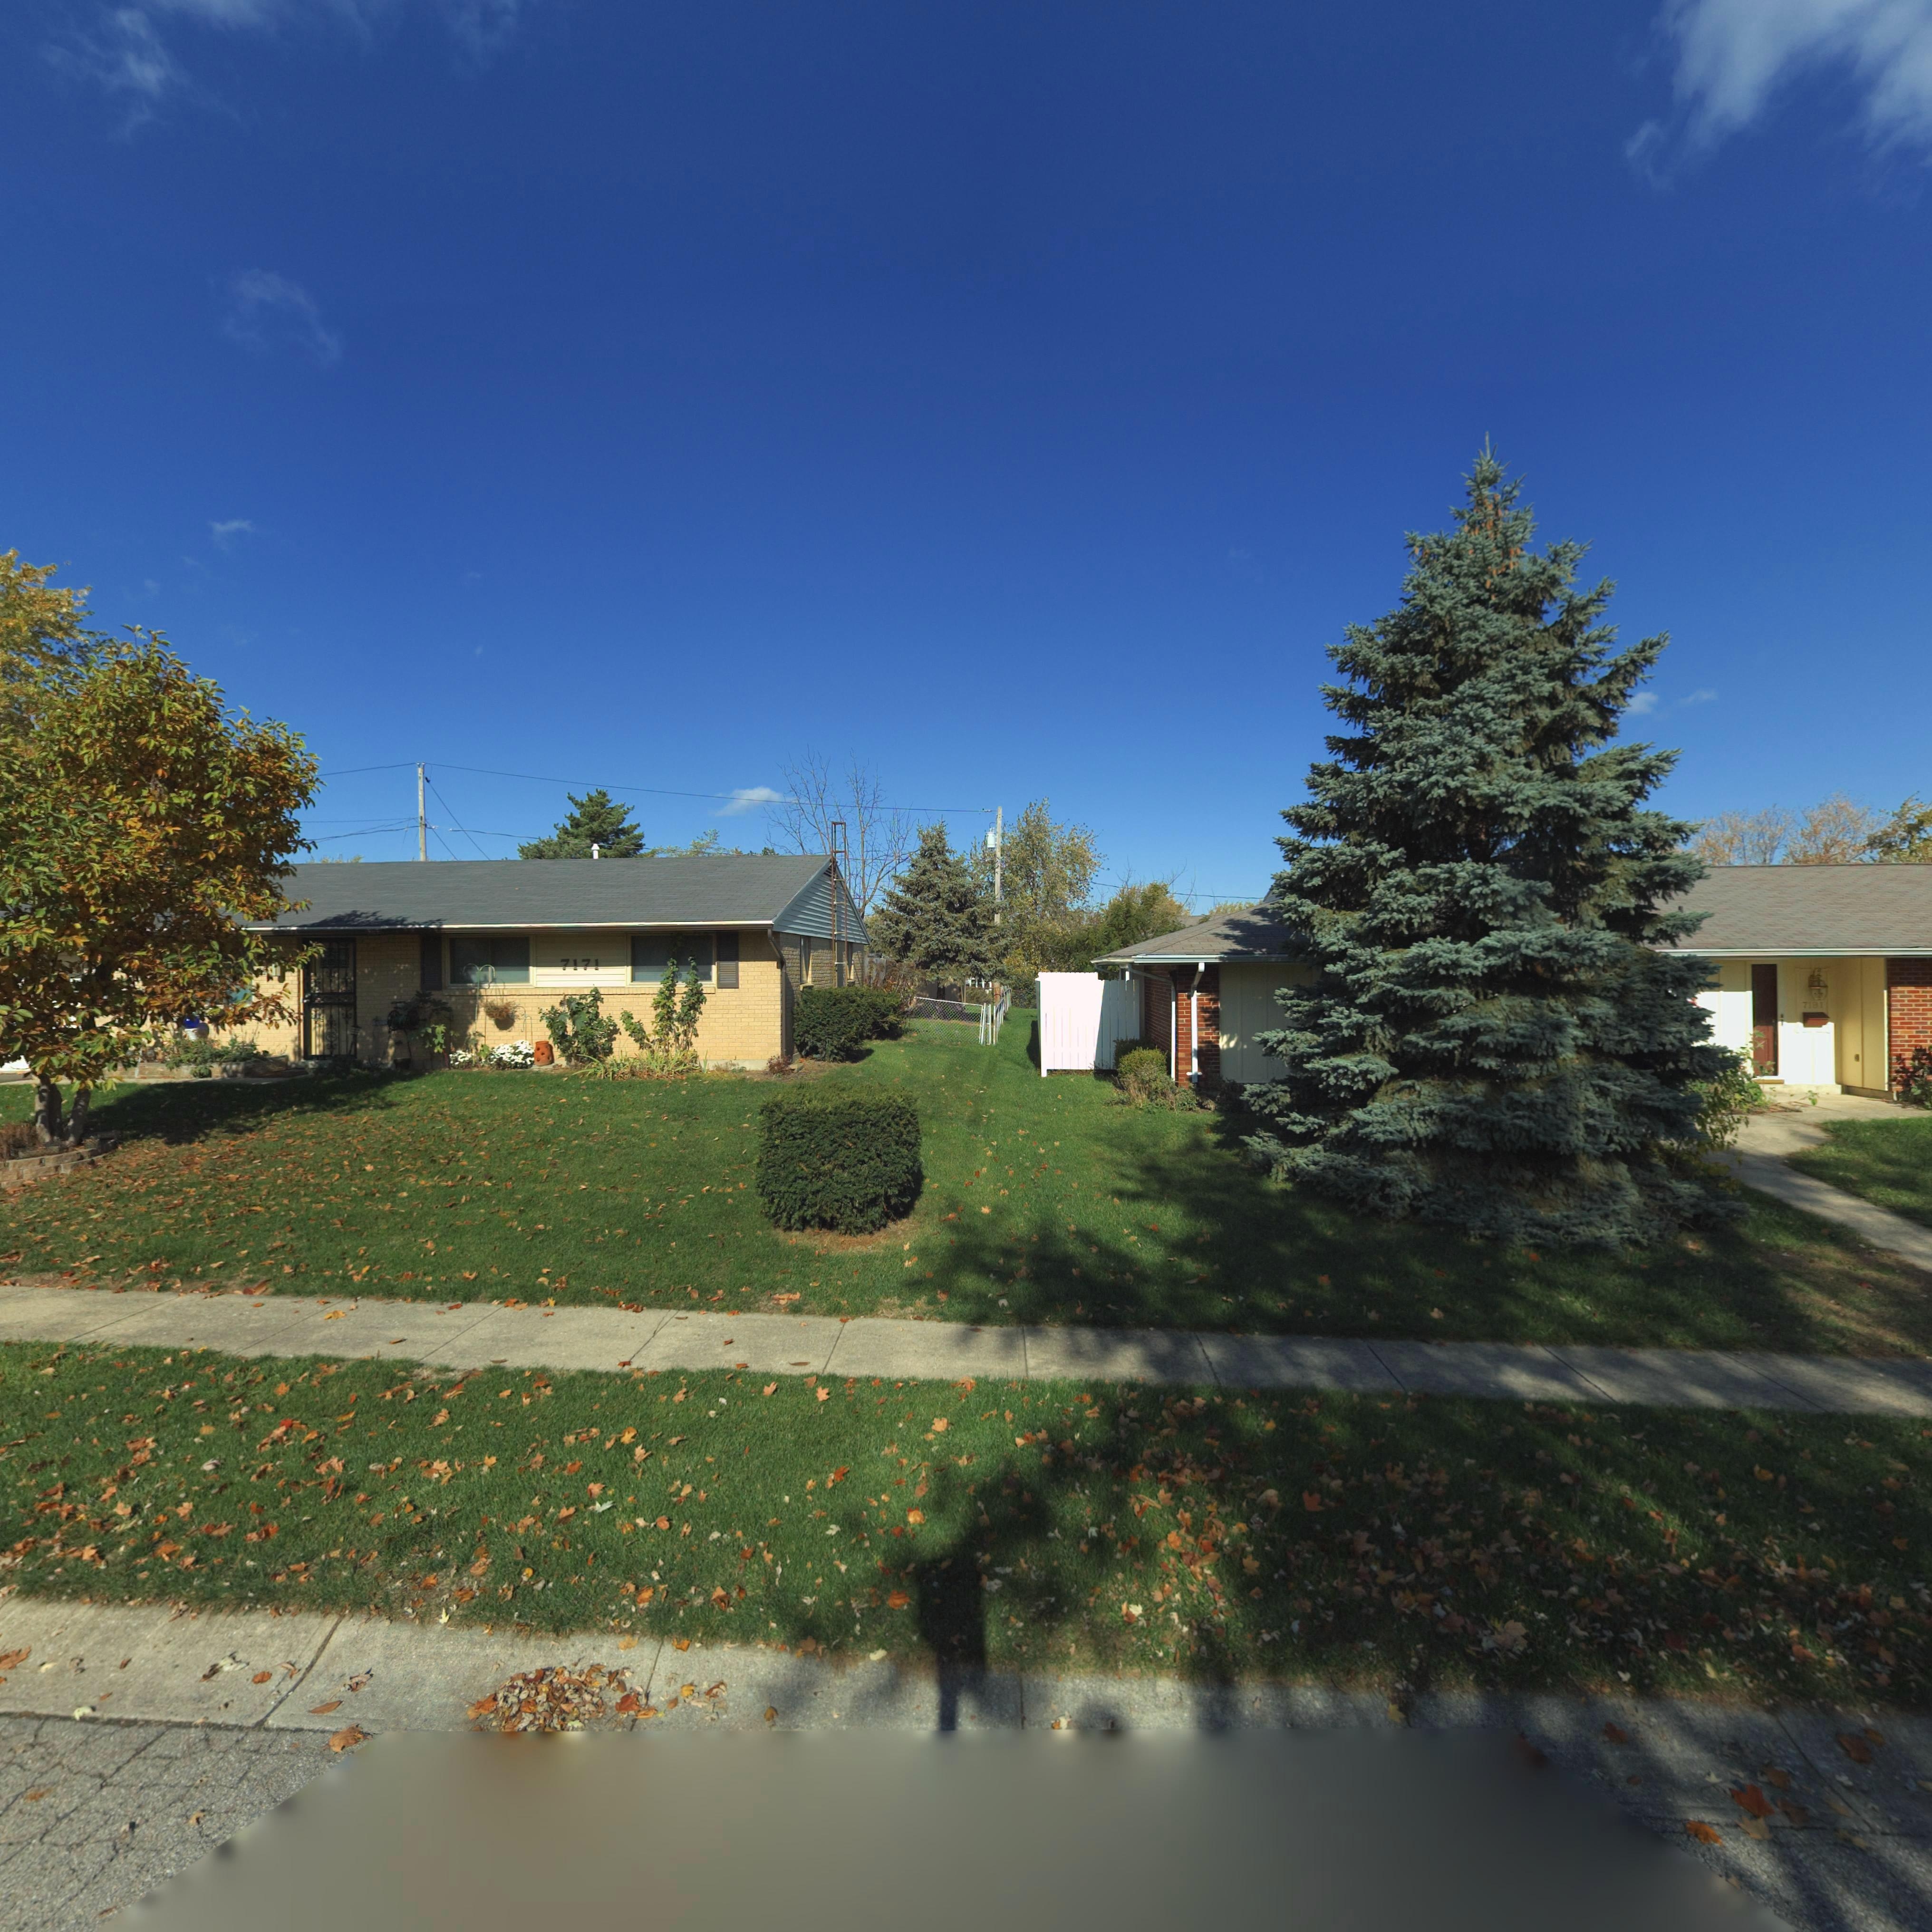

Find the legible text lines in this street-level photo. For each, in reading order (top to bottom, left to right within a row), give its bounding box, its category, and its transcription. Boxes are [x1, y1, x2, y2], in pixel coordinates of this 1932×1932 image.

[559, 957, 600, 972] StreetNumber: 7171
[1801, 1000, 1825, 1010] StreetNumber: 7181